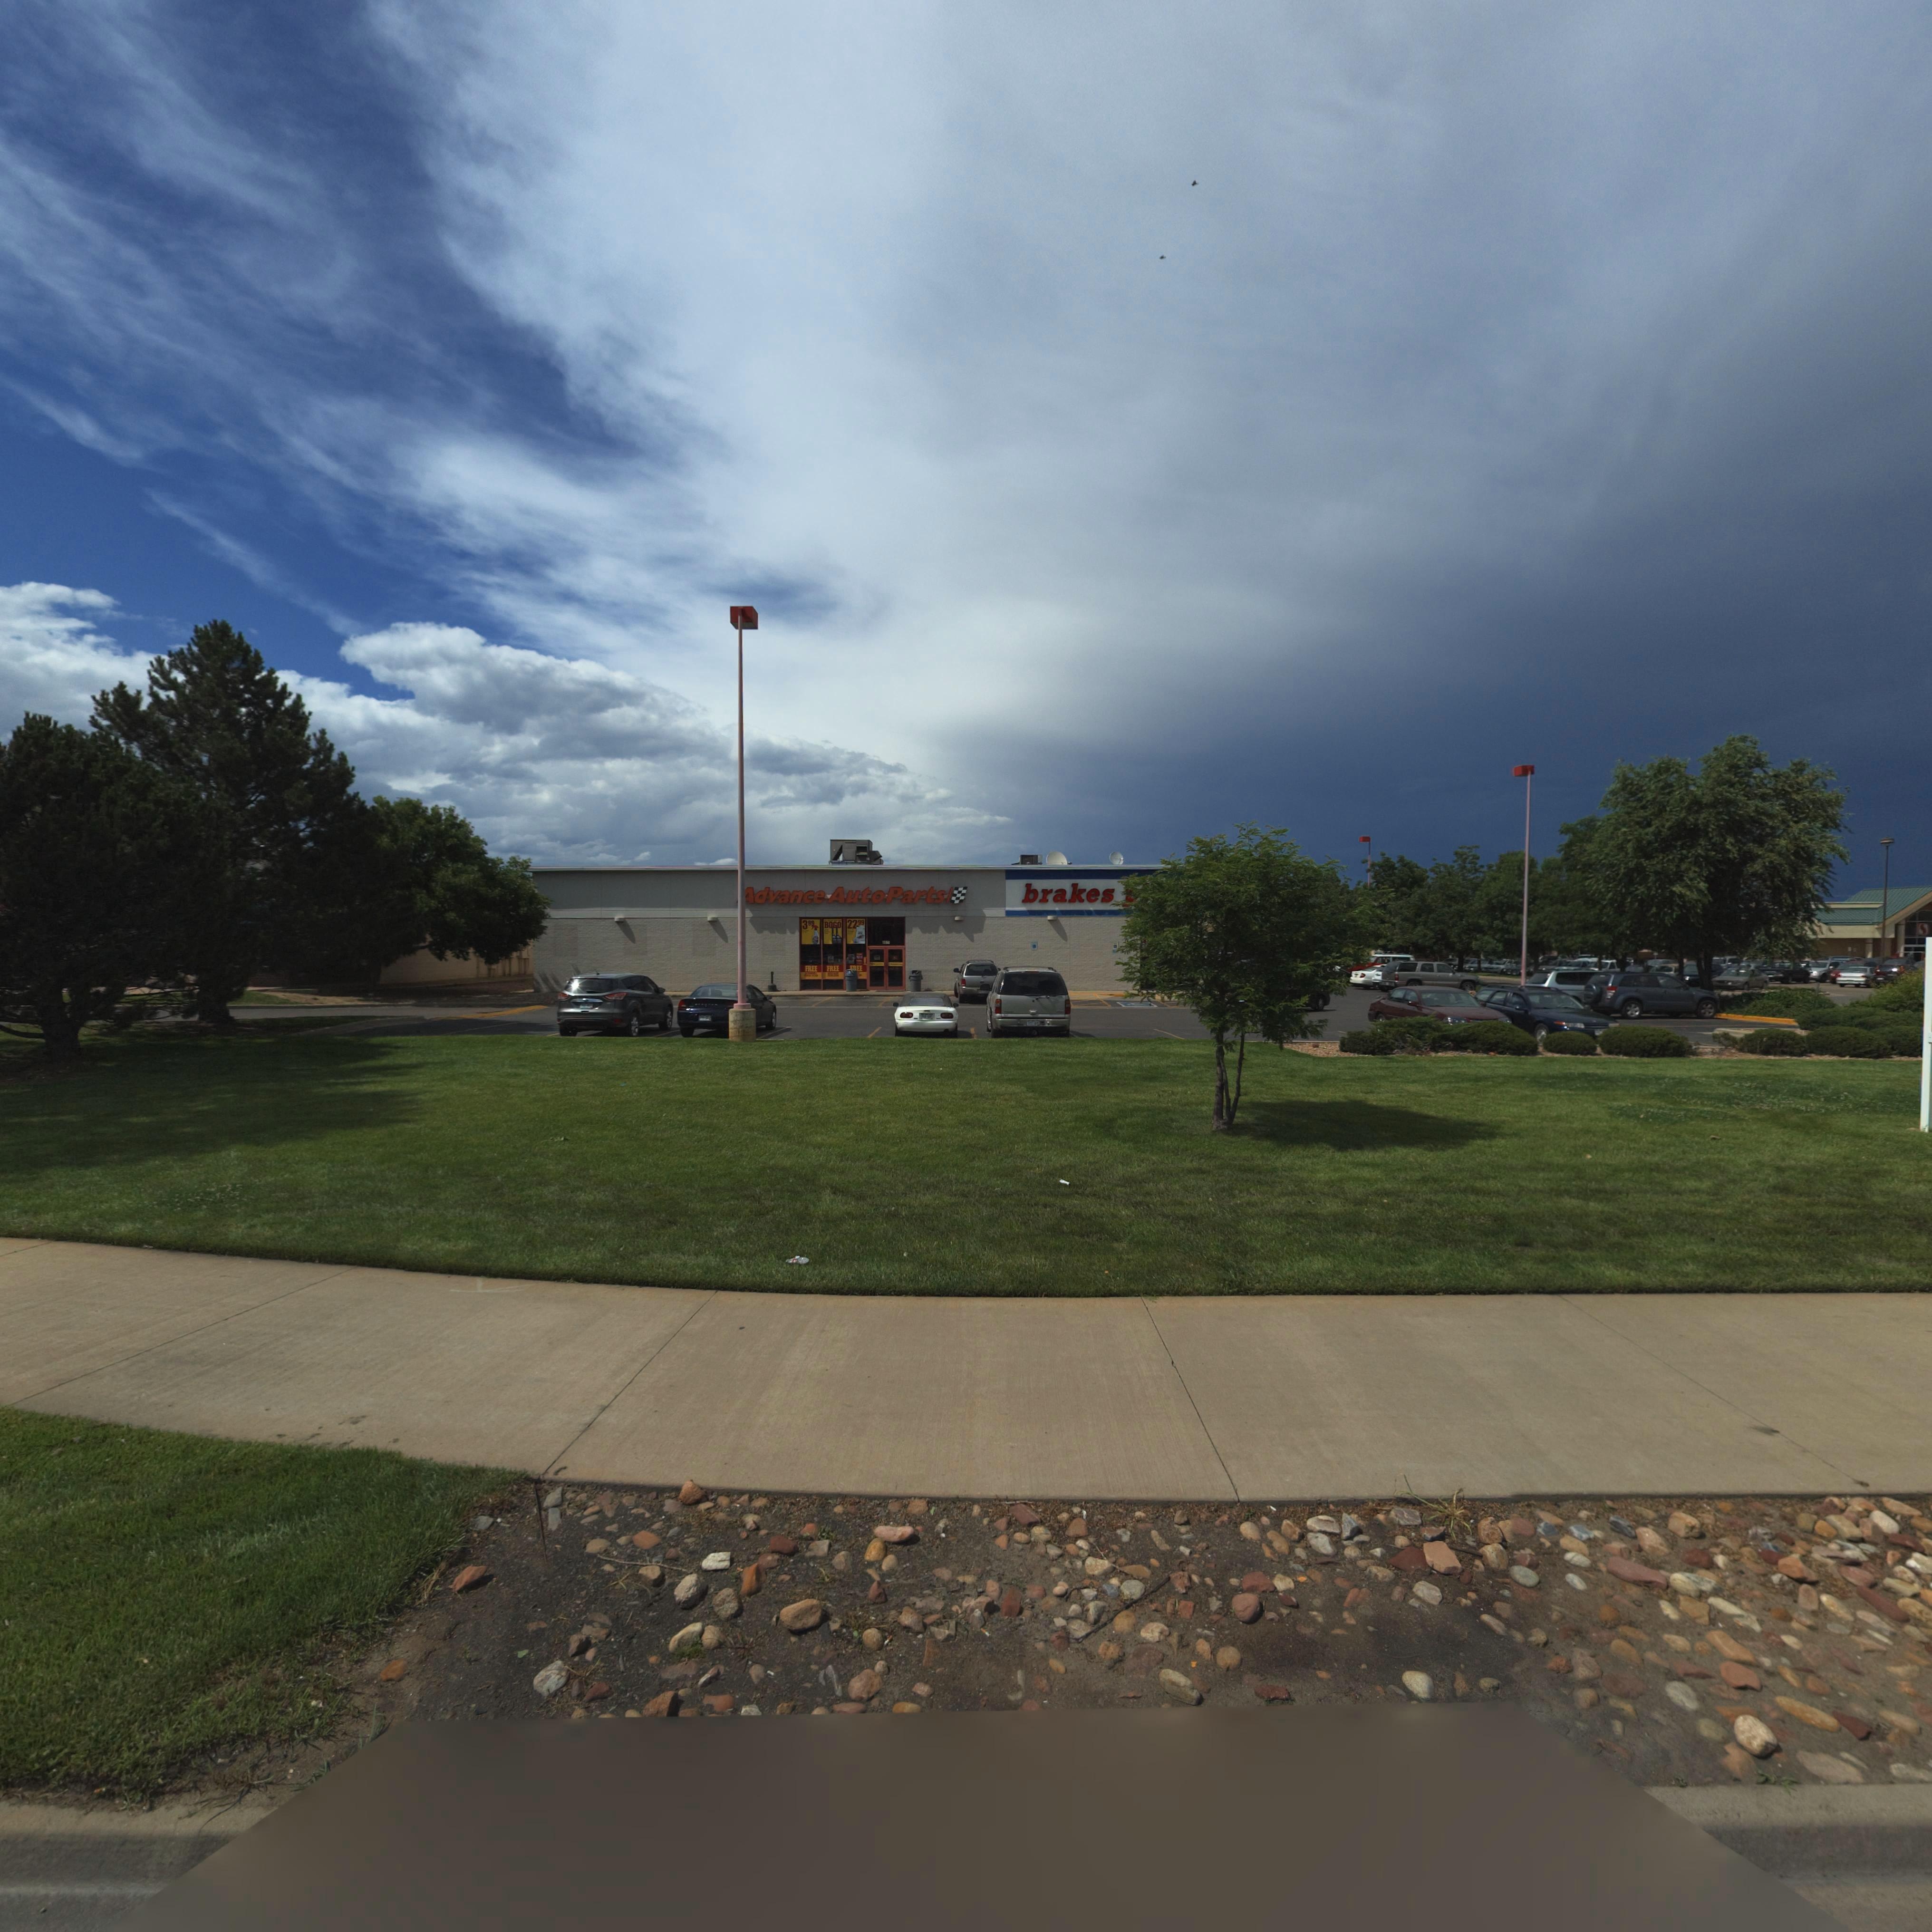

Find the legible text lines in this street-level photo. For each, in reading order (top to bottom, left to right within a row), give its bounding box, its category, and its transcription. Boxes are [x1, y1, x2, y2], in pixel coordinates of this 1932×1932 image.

[735, 886, 946, 904] BusinessName: *dvance Auto Parts
[1021, 882, 1115, 903] BusinessName: brakes
[882, 940, 890, 944] StreetNumber: 1050